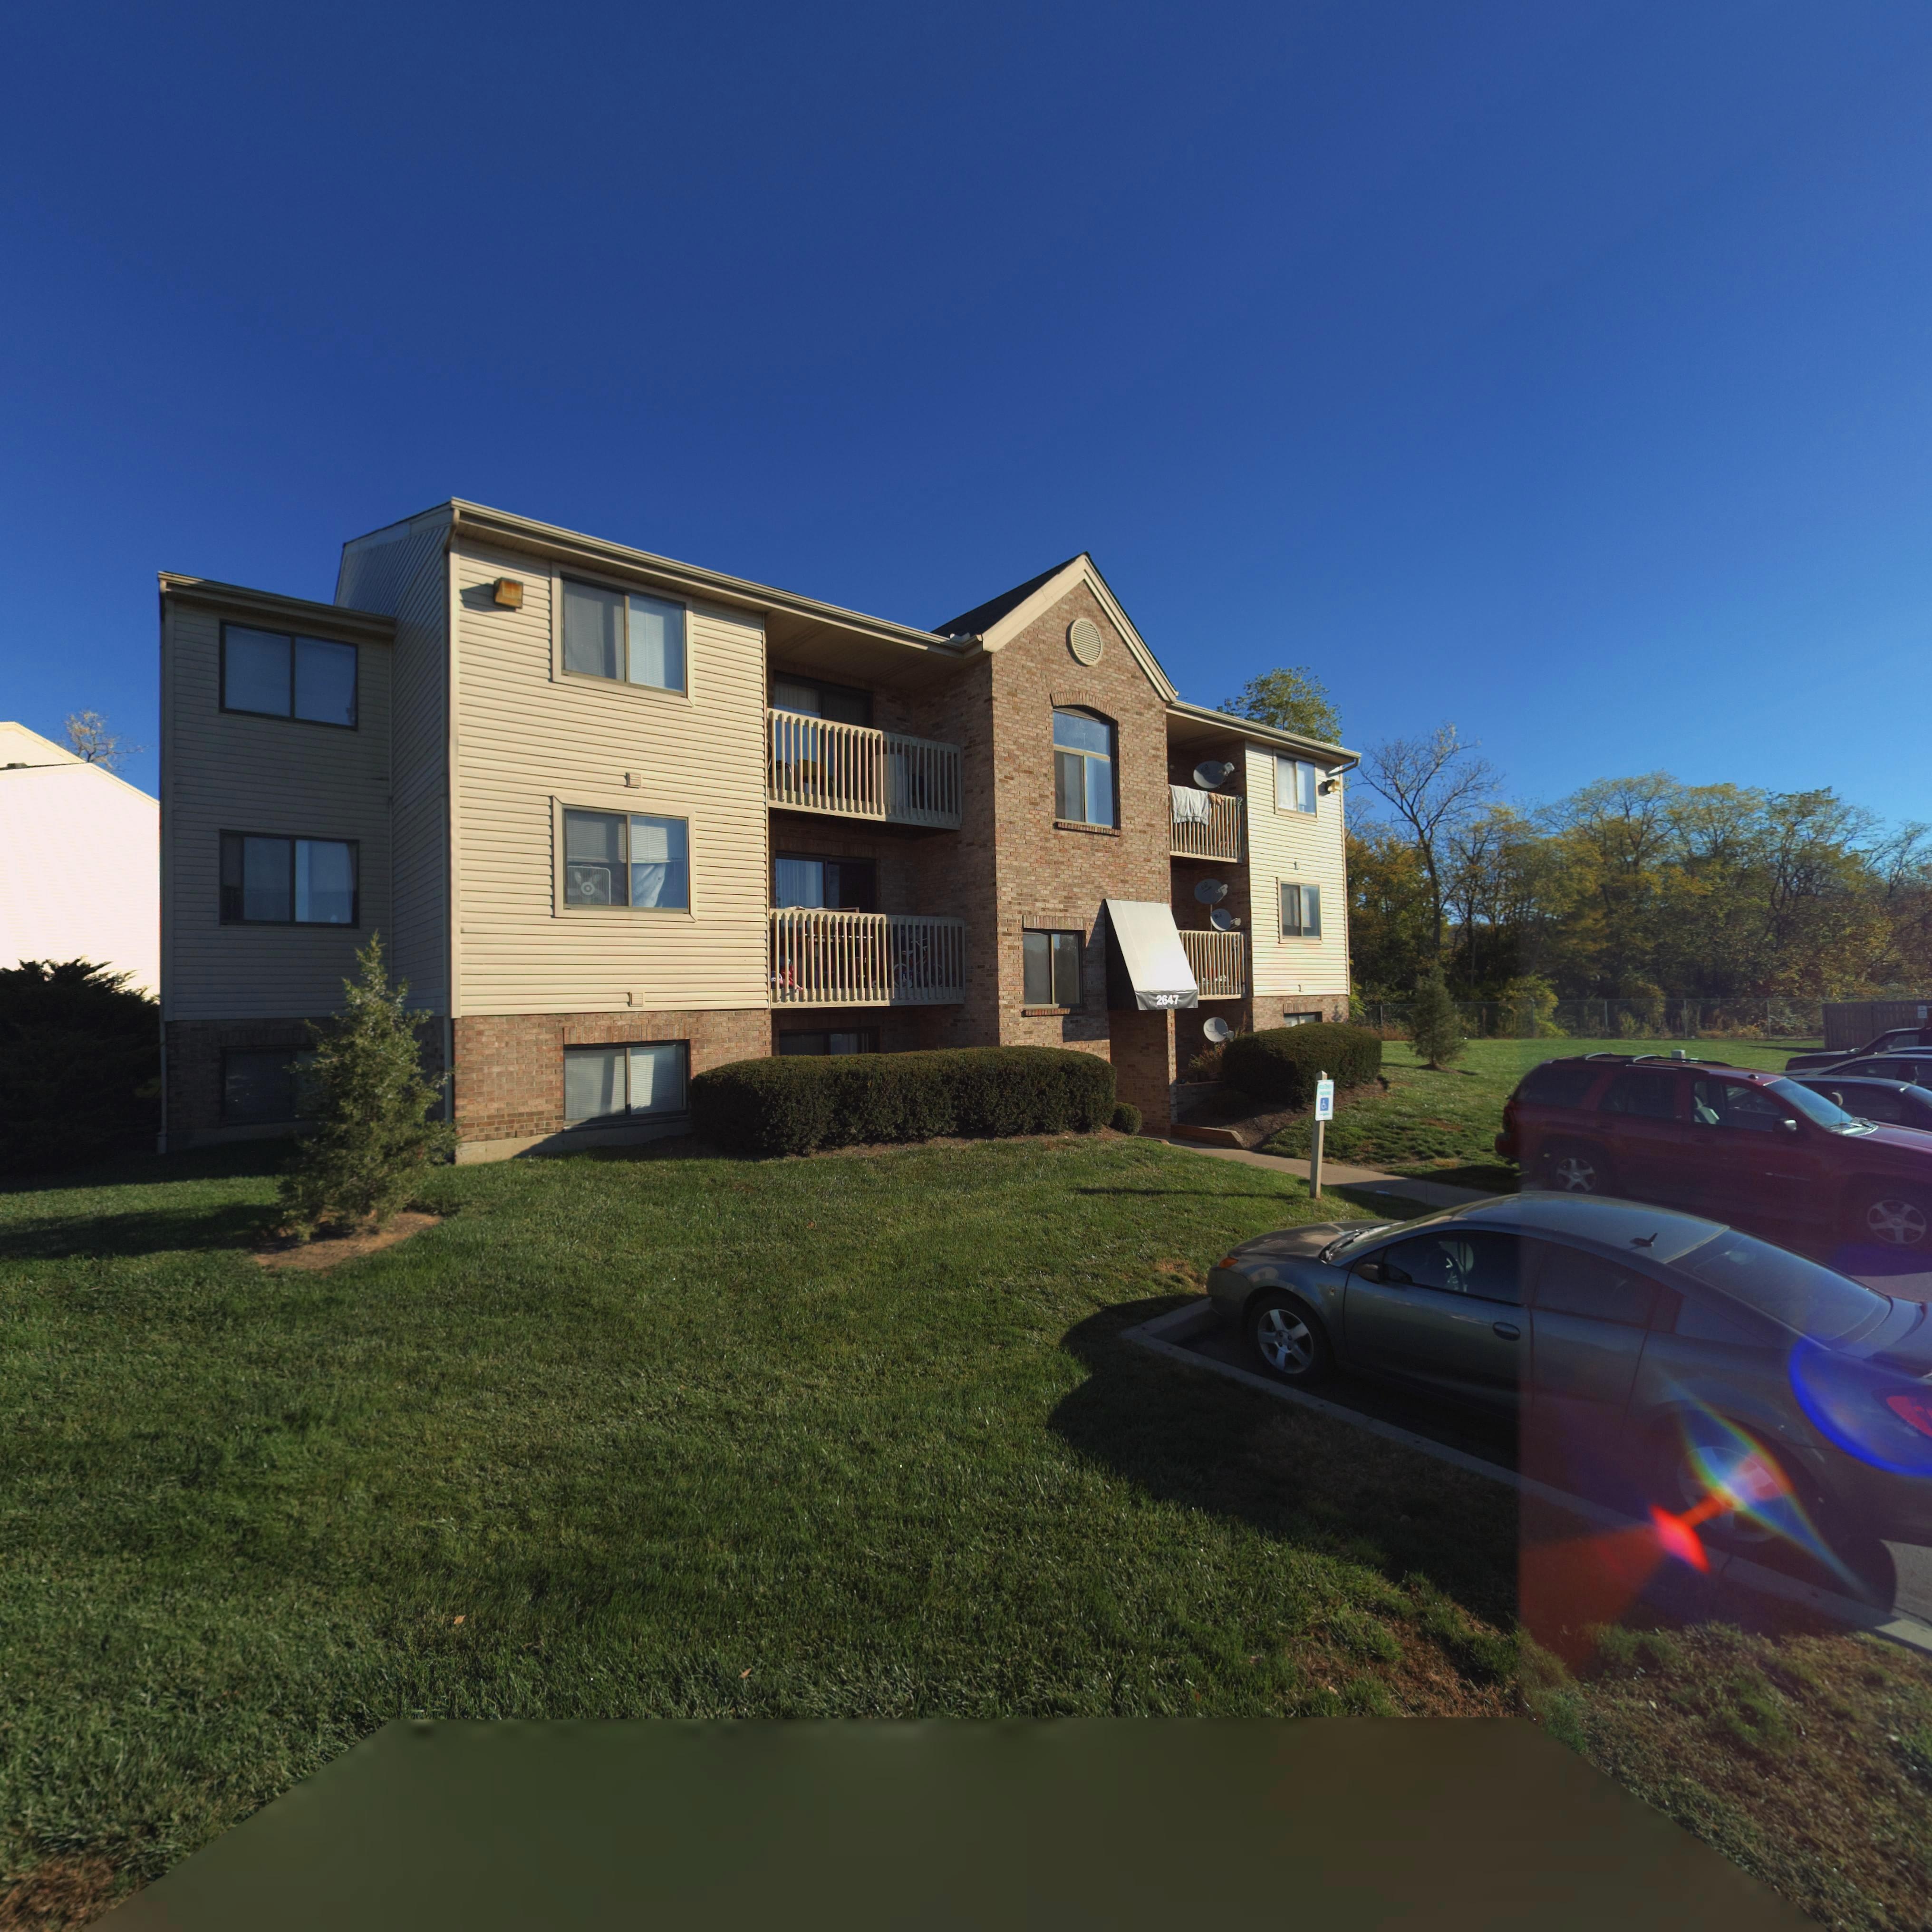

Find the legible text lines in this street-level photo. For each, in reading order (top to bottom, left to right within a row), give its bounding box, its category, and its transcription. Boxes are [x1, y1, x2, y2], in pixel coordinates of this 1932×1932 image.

[1156, 994, 1179, 1005] StreetNumber: 2647